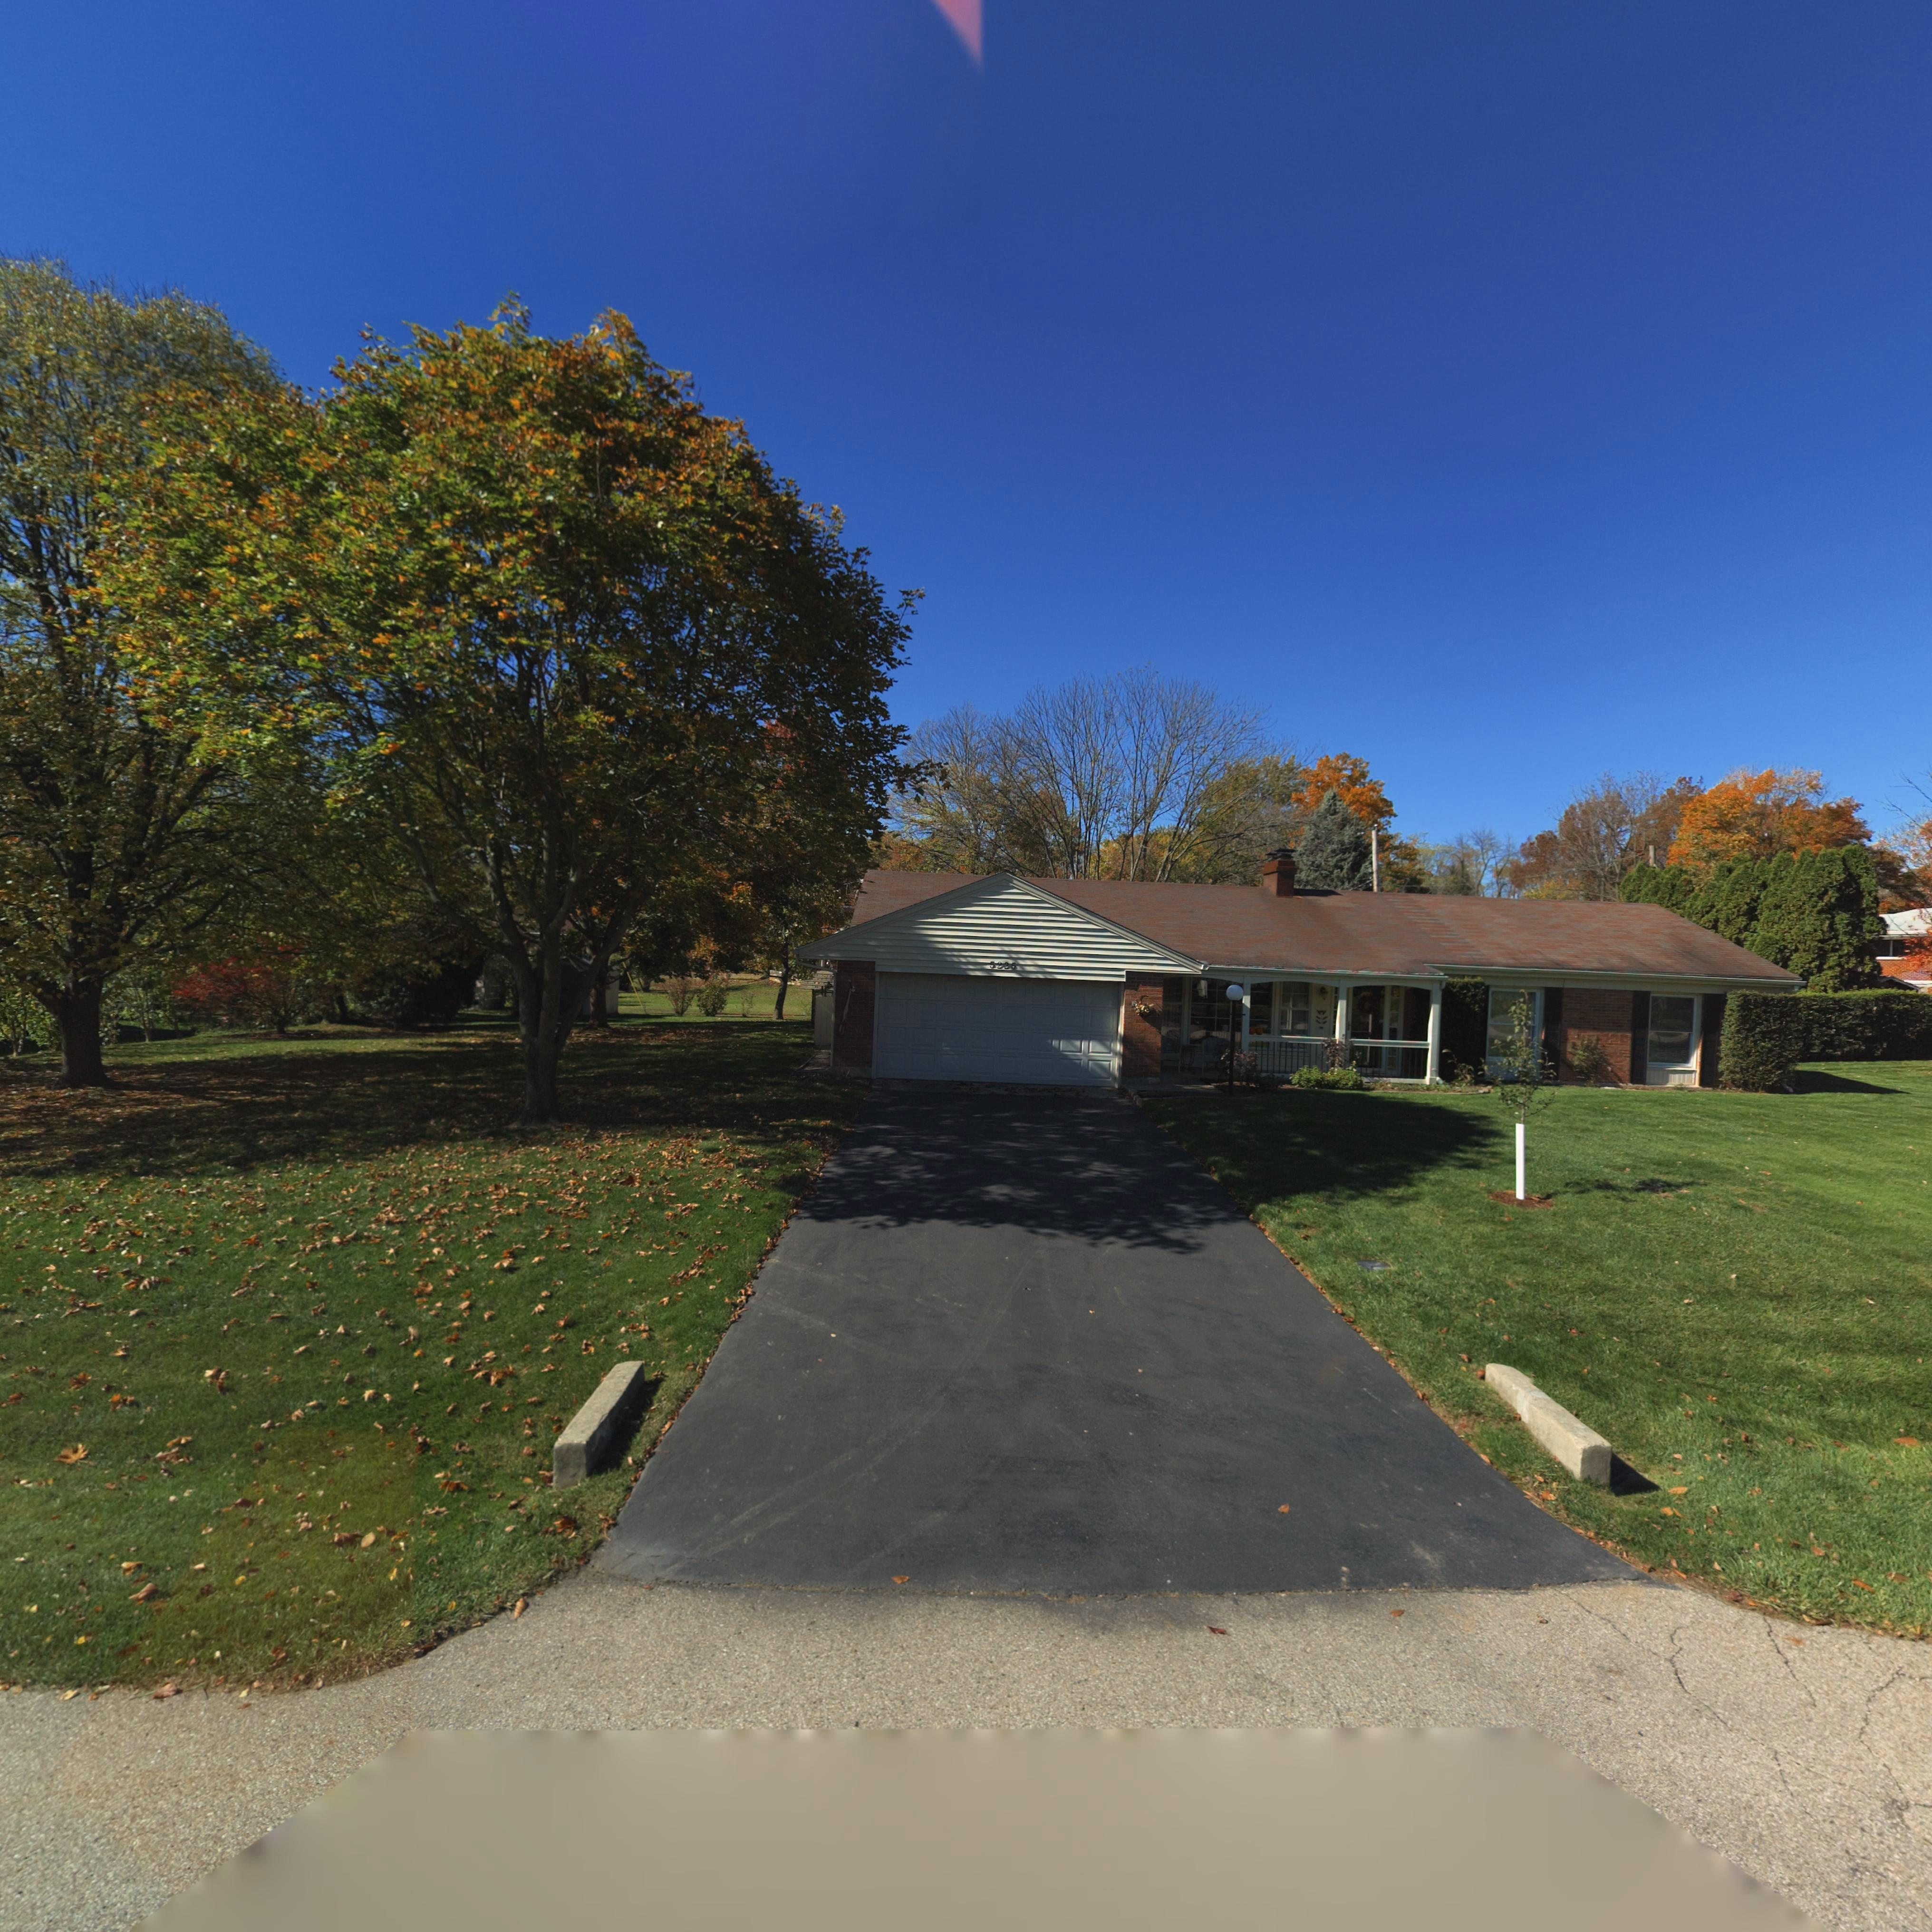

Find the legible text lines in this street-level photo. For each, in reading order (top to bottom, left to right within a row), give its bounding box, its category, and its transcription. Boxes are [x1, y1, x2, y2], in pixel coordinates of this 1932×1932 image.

[989, 960, 1017, 970] StreetNumber: 5225